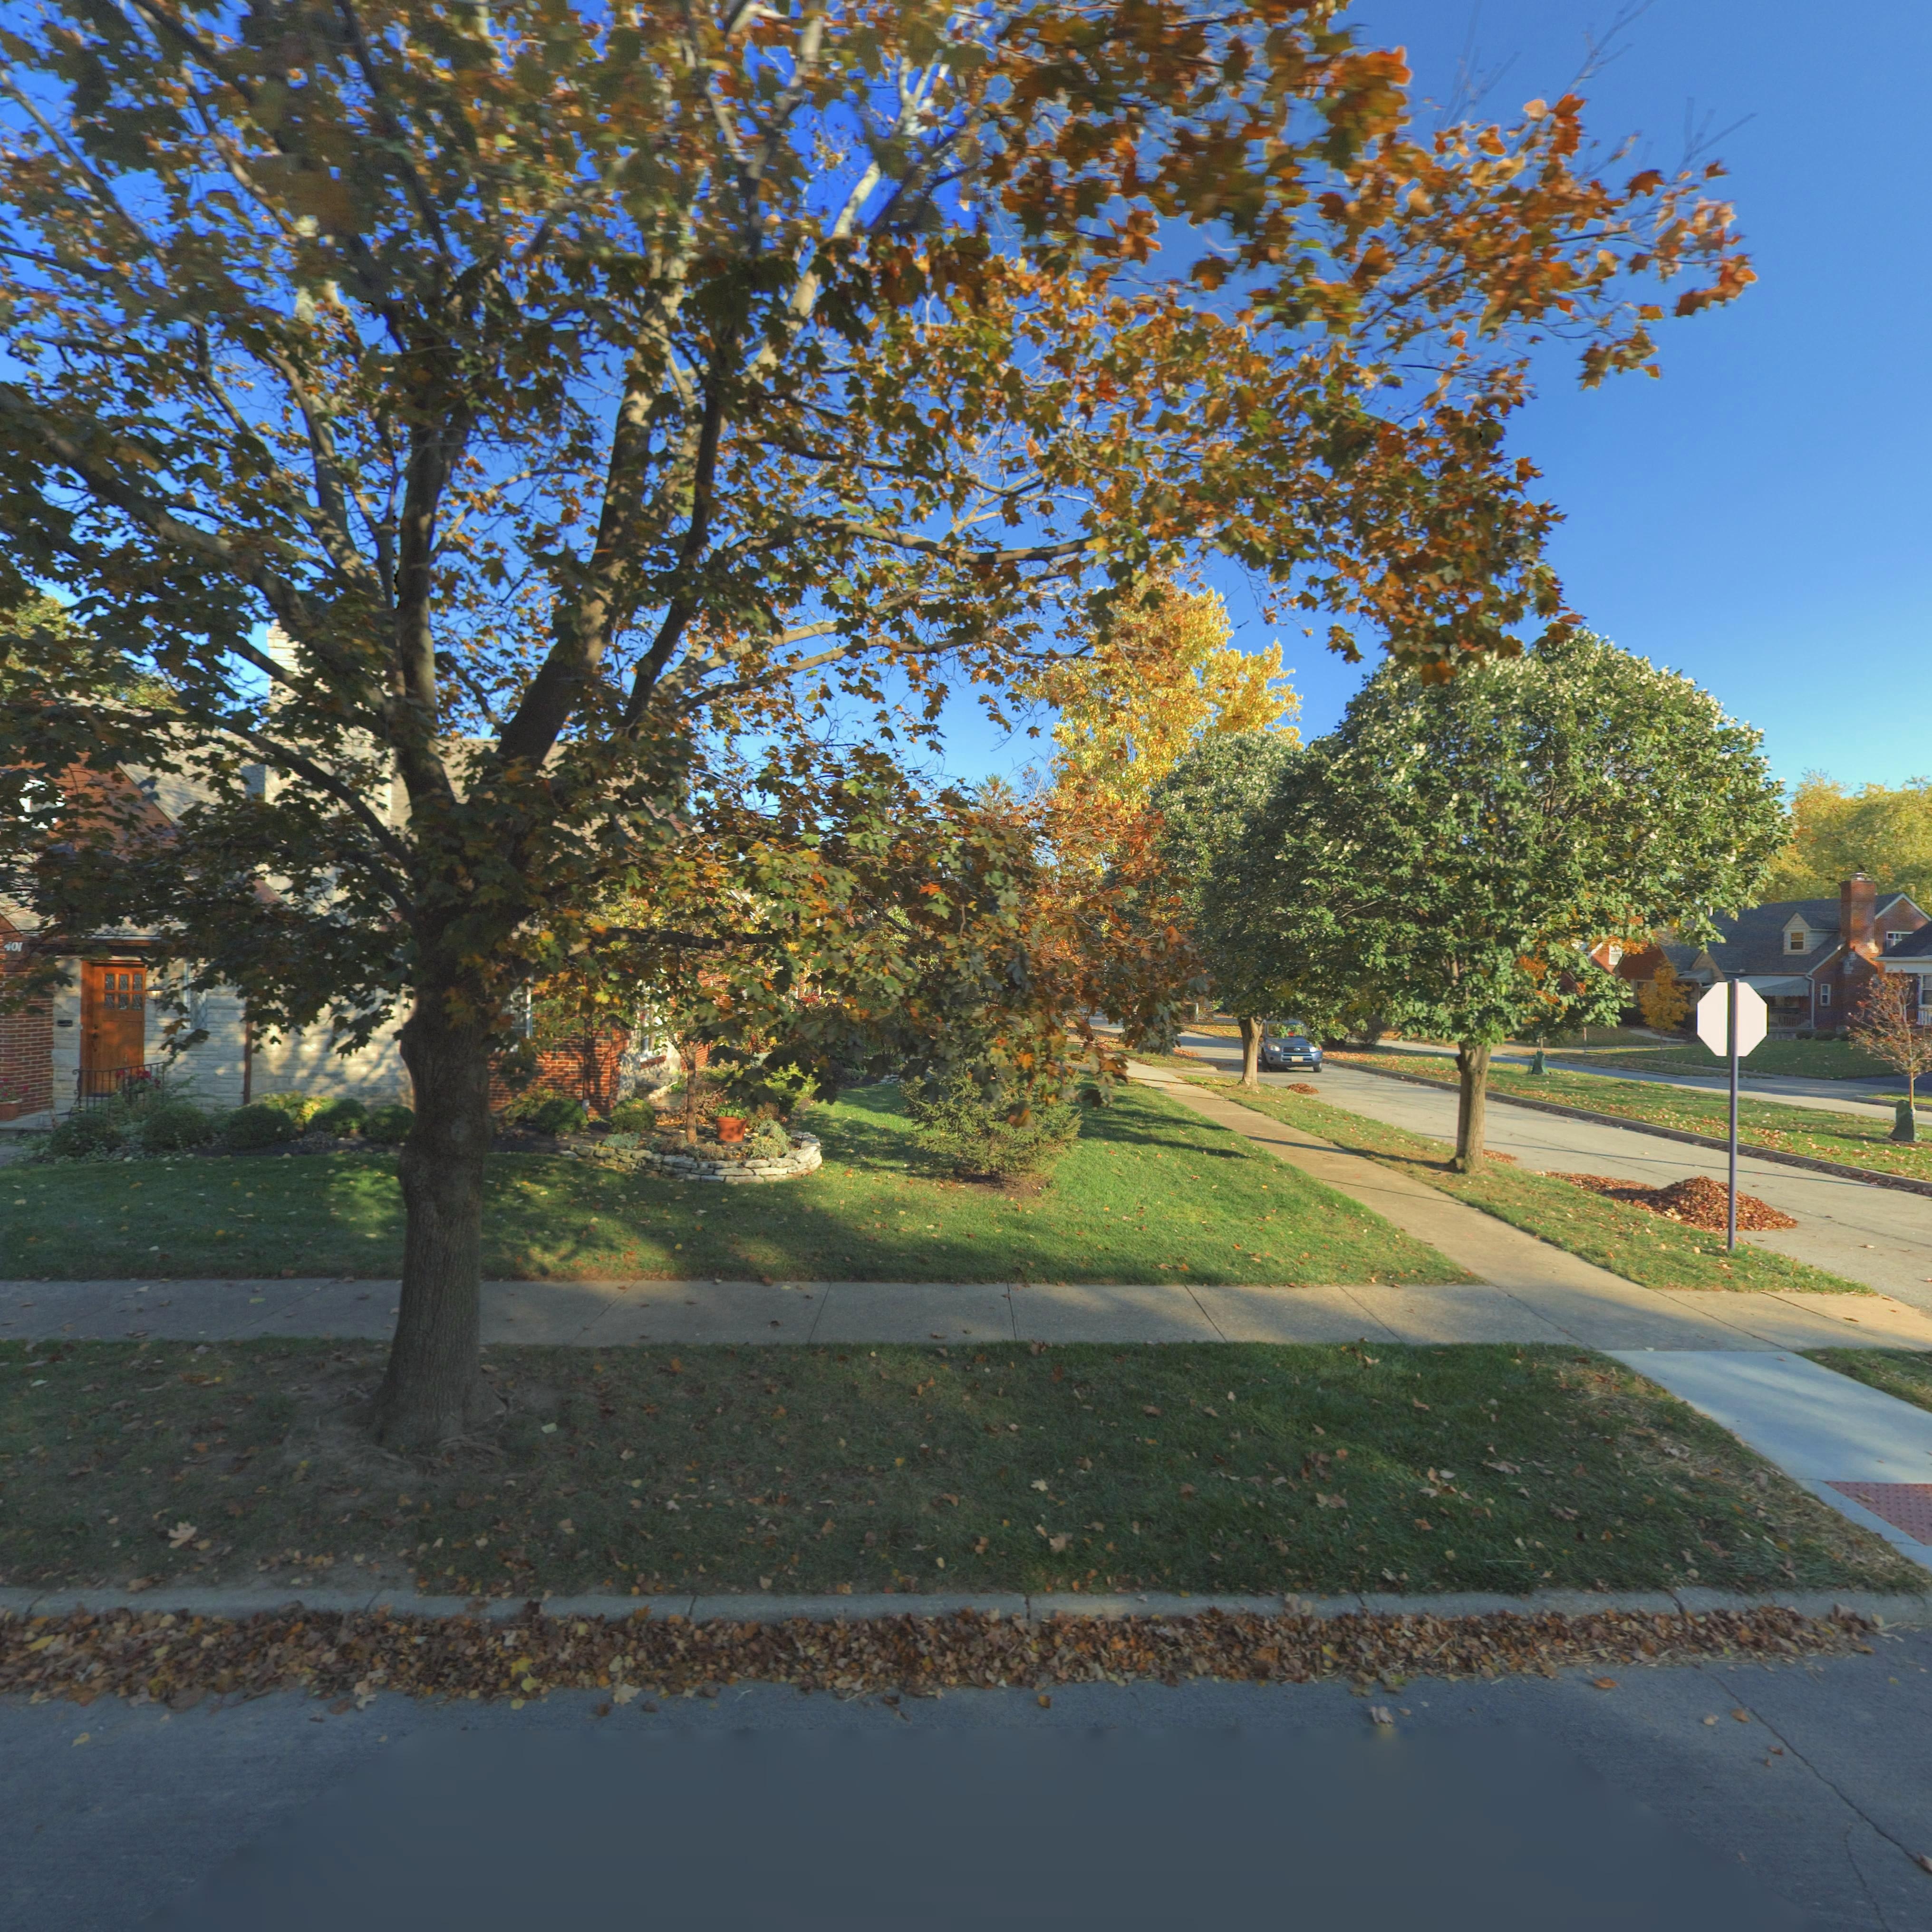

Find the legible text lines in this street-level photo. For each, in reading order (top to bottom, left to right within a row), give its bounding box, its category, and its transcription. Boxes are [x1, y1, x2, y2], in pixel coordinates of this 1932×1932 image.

[2, 940, 23, 953] StreetNumber: 401